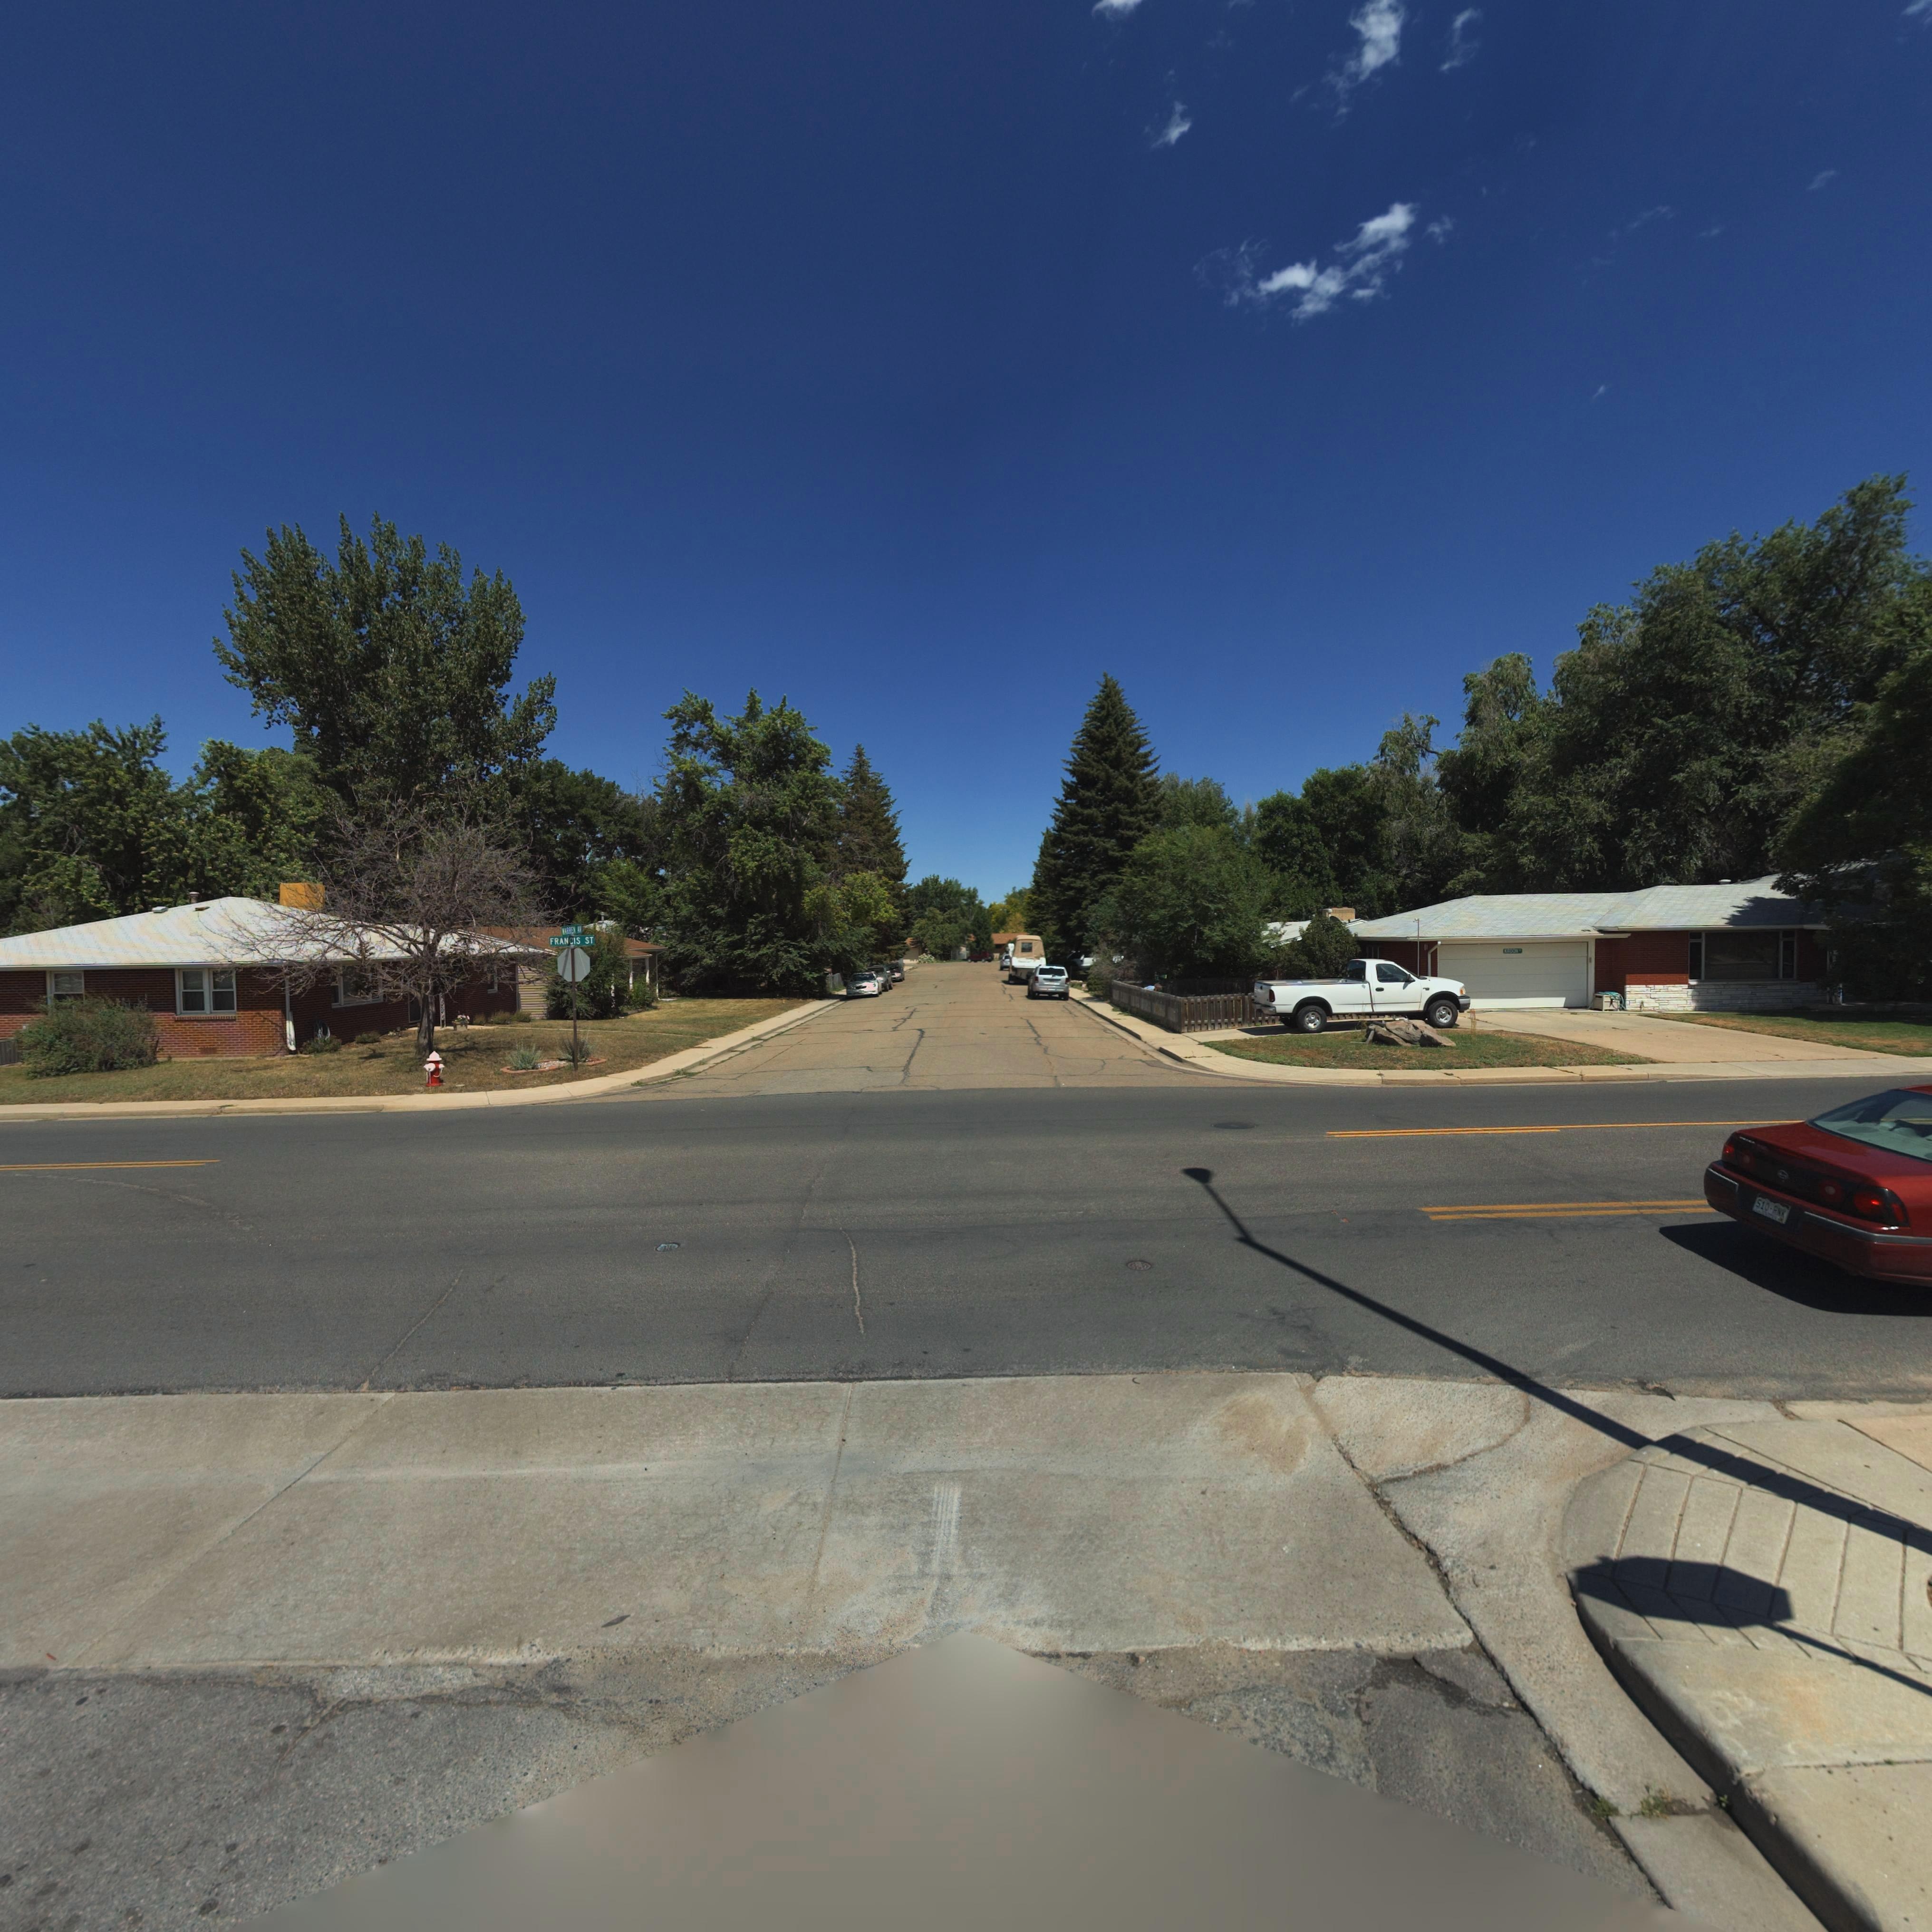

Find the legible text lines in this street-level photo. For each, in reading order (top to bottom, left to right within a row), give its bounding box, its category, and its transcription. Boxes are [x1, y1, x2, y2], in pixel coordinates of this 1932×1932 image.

[561, 925, 582, 935] StreetName: *ARRE* **
[550, 936, 593, 945] StreetName: FRANCIS ST